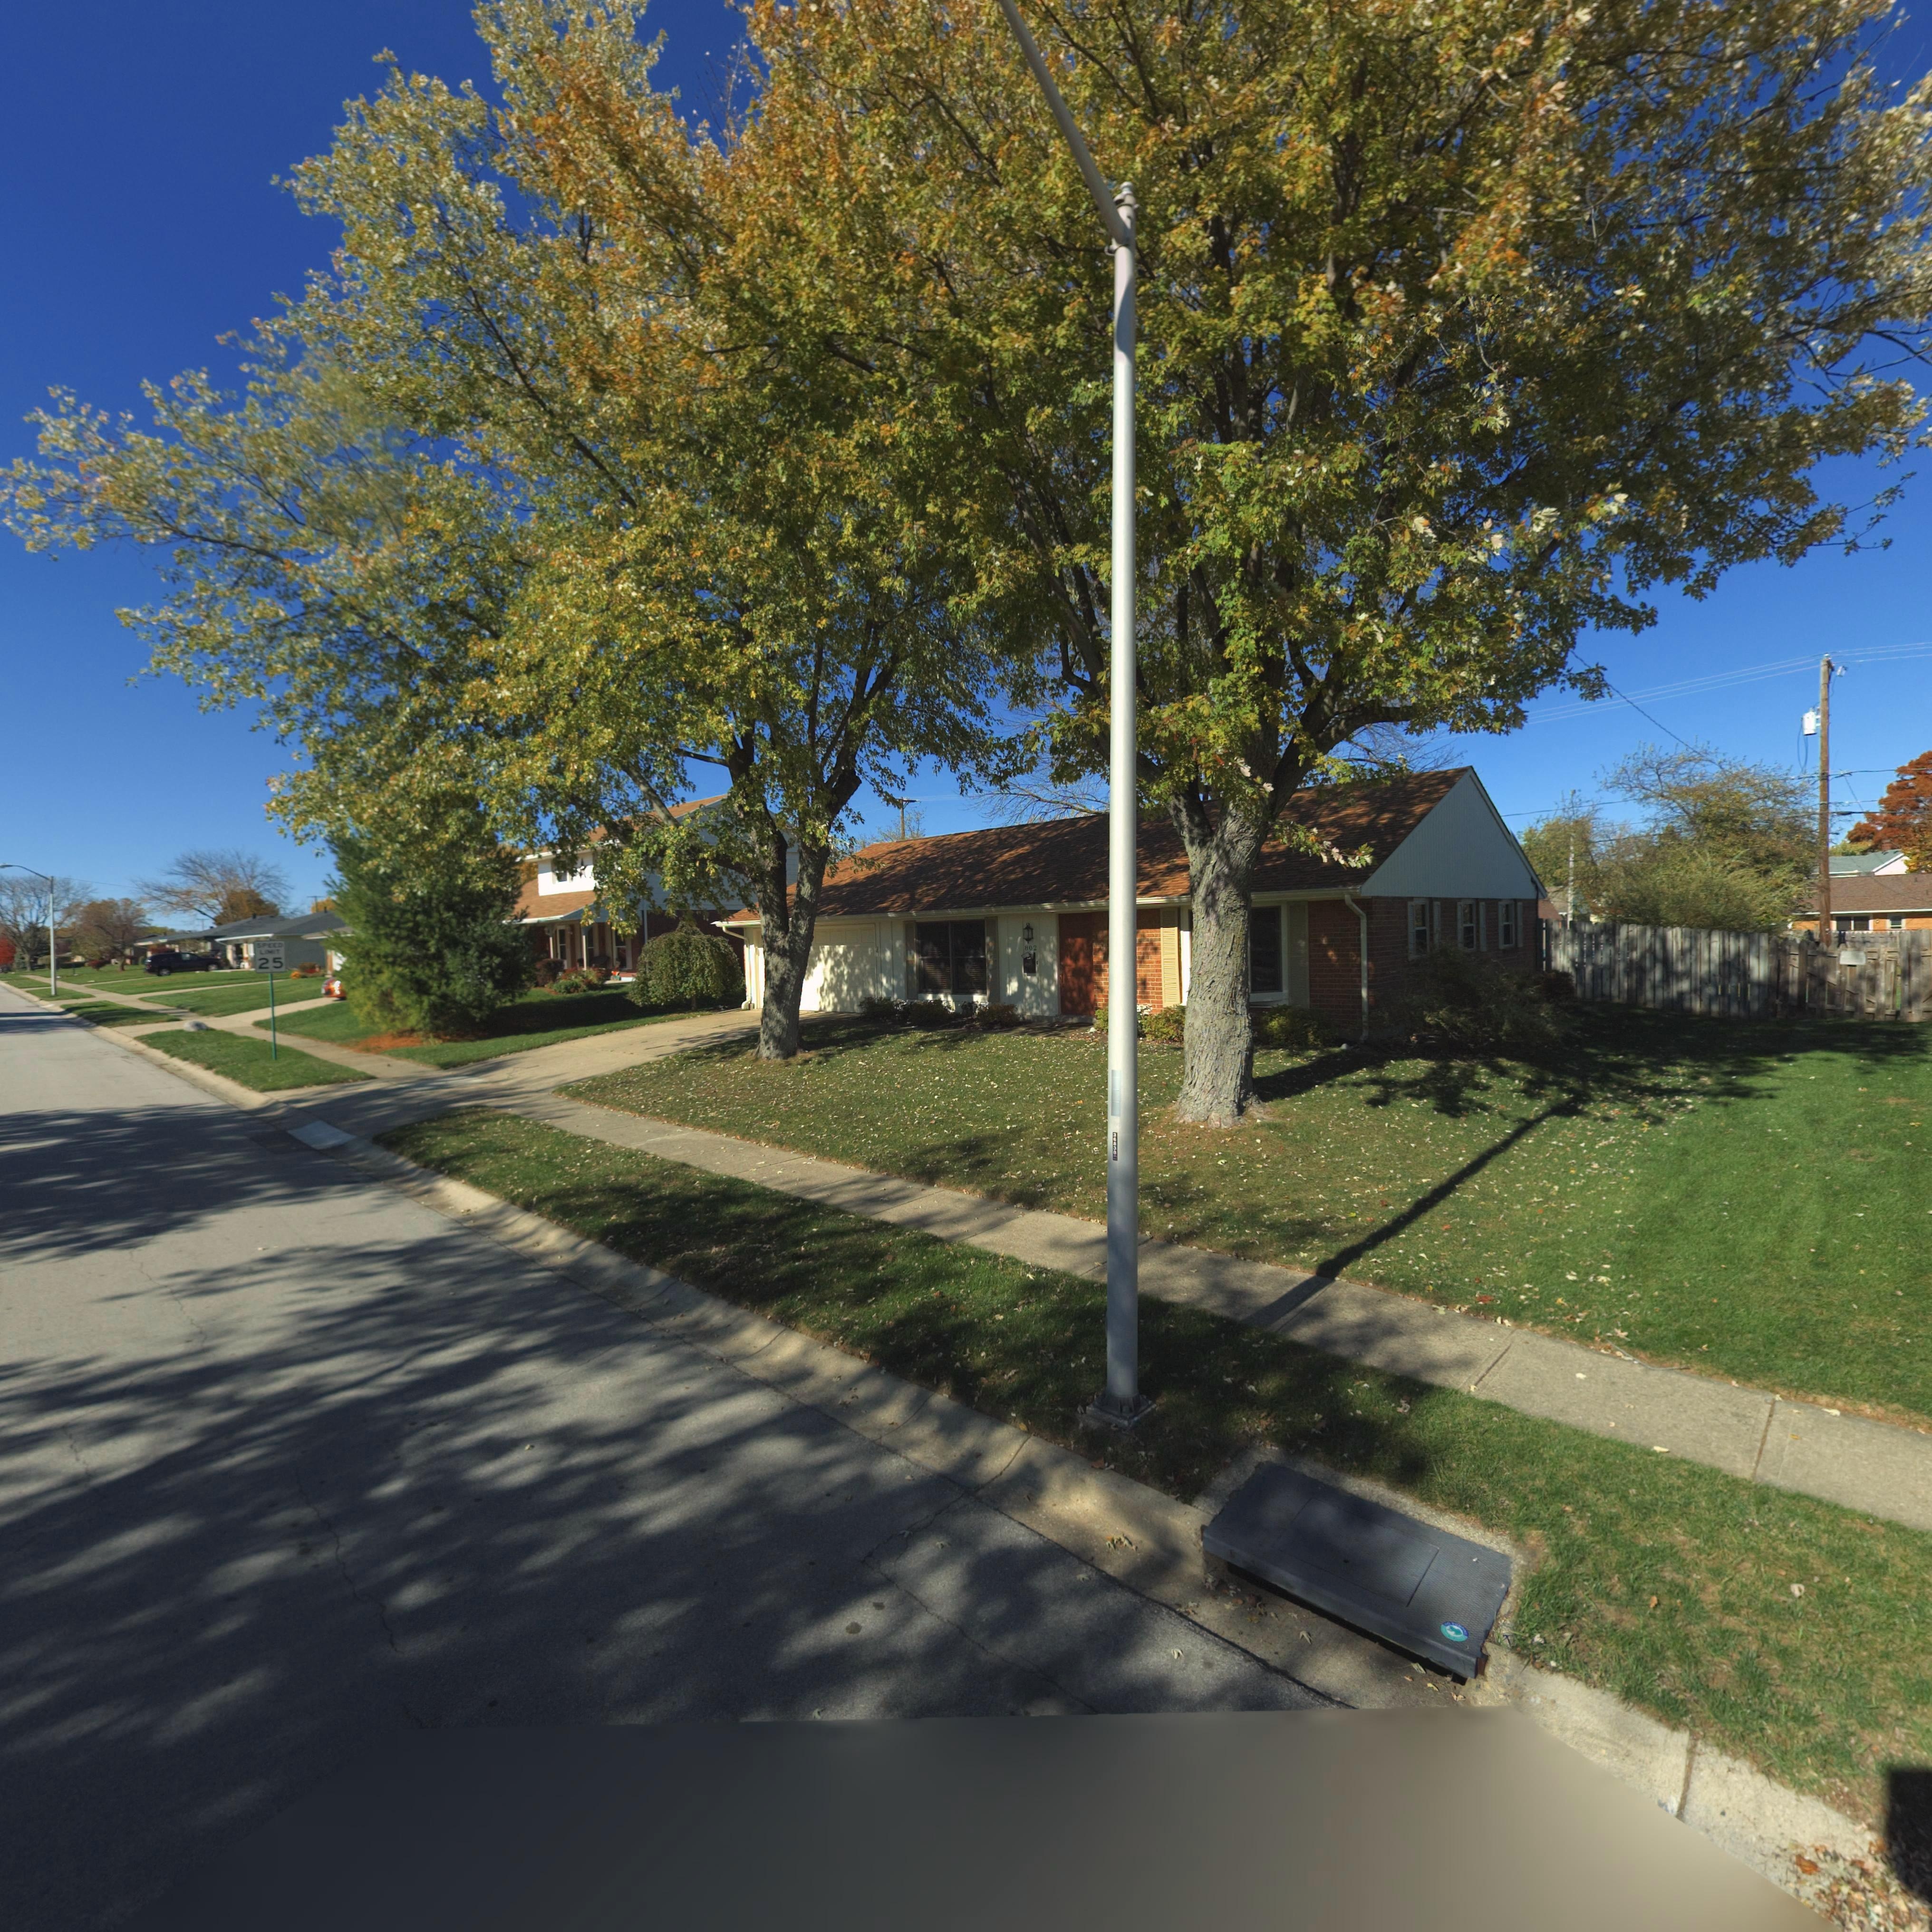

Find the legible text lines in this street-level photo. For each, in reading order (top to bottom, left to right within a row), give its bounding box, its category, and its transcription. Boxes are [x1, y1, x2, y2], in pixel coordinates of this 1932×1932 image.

[1024, 945, 1037, 951] StreetNumber: 802